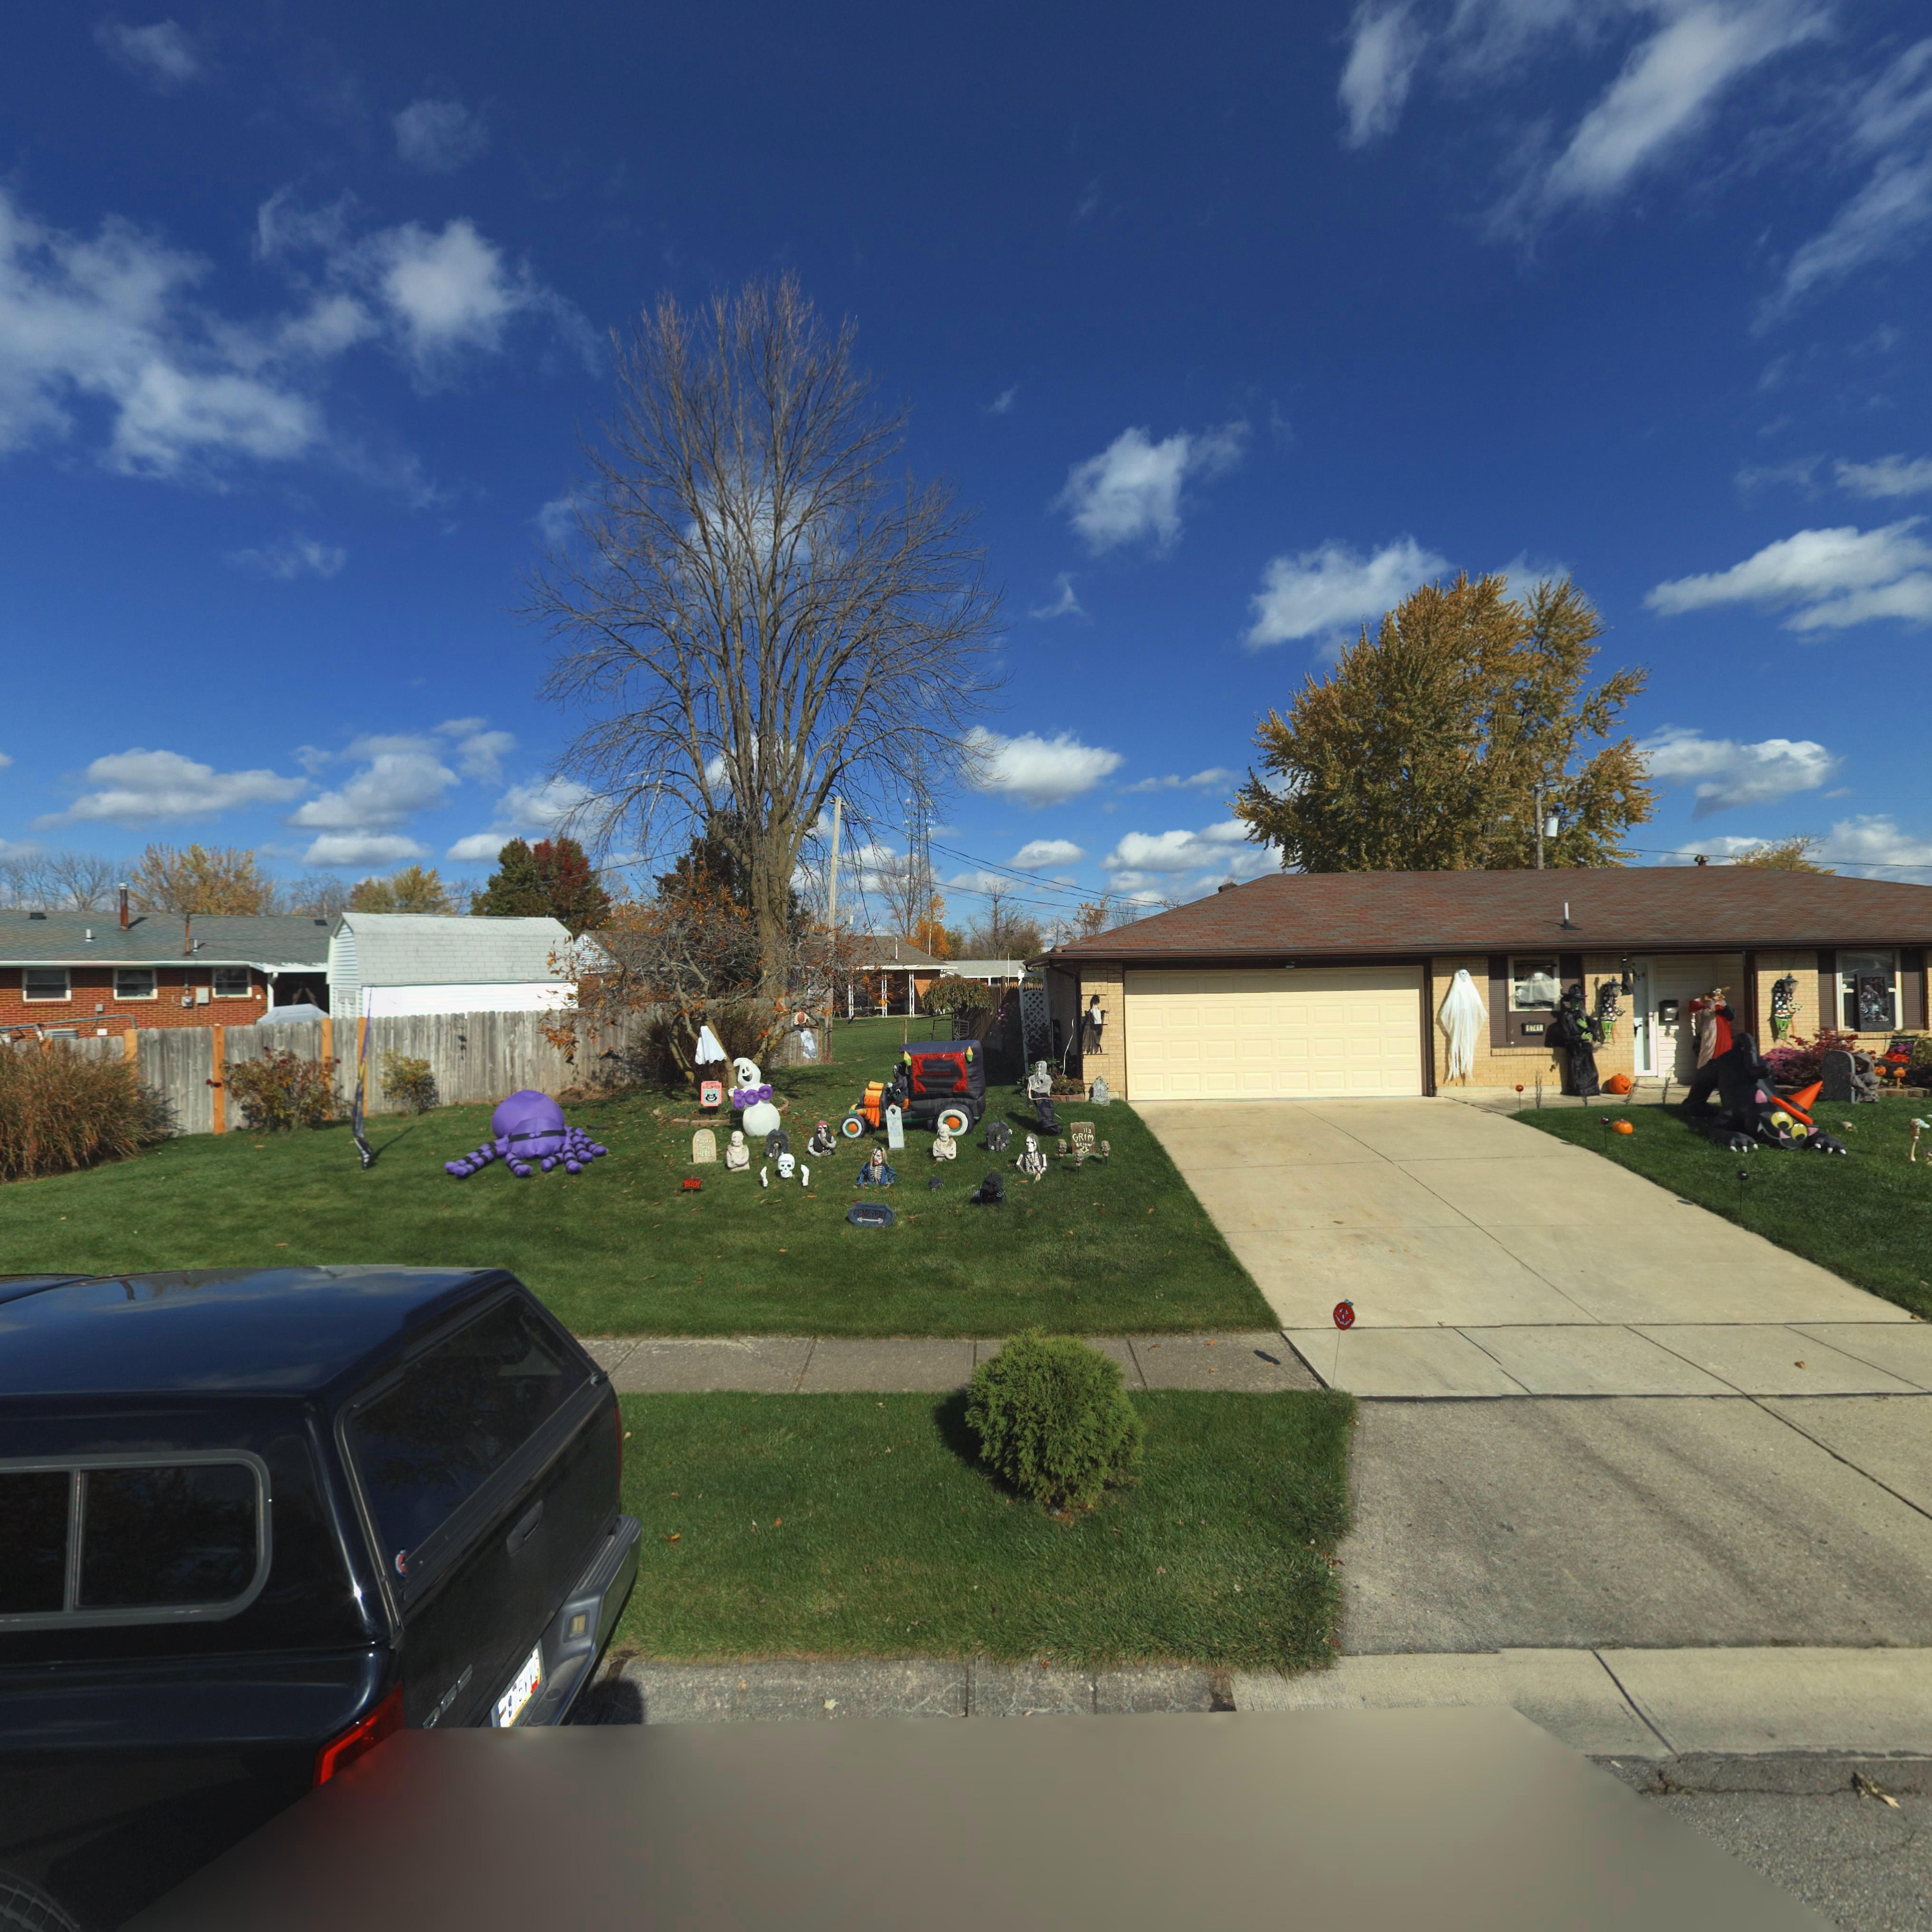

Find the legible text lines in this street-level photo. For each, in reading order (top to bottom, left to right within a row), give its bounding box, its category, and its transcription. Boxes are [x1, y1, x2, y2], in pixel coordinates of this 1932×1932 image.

[1527, 1024, 1541, 1031] StreetNumber: 6741